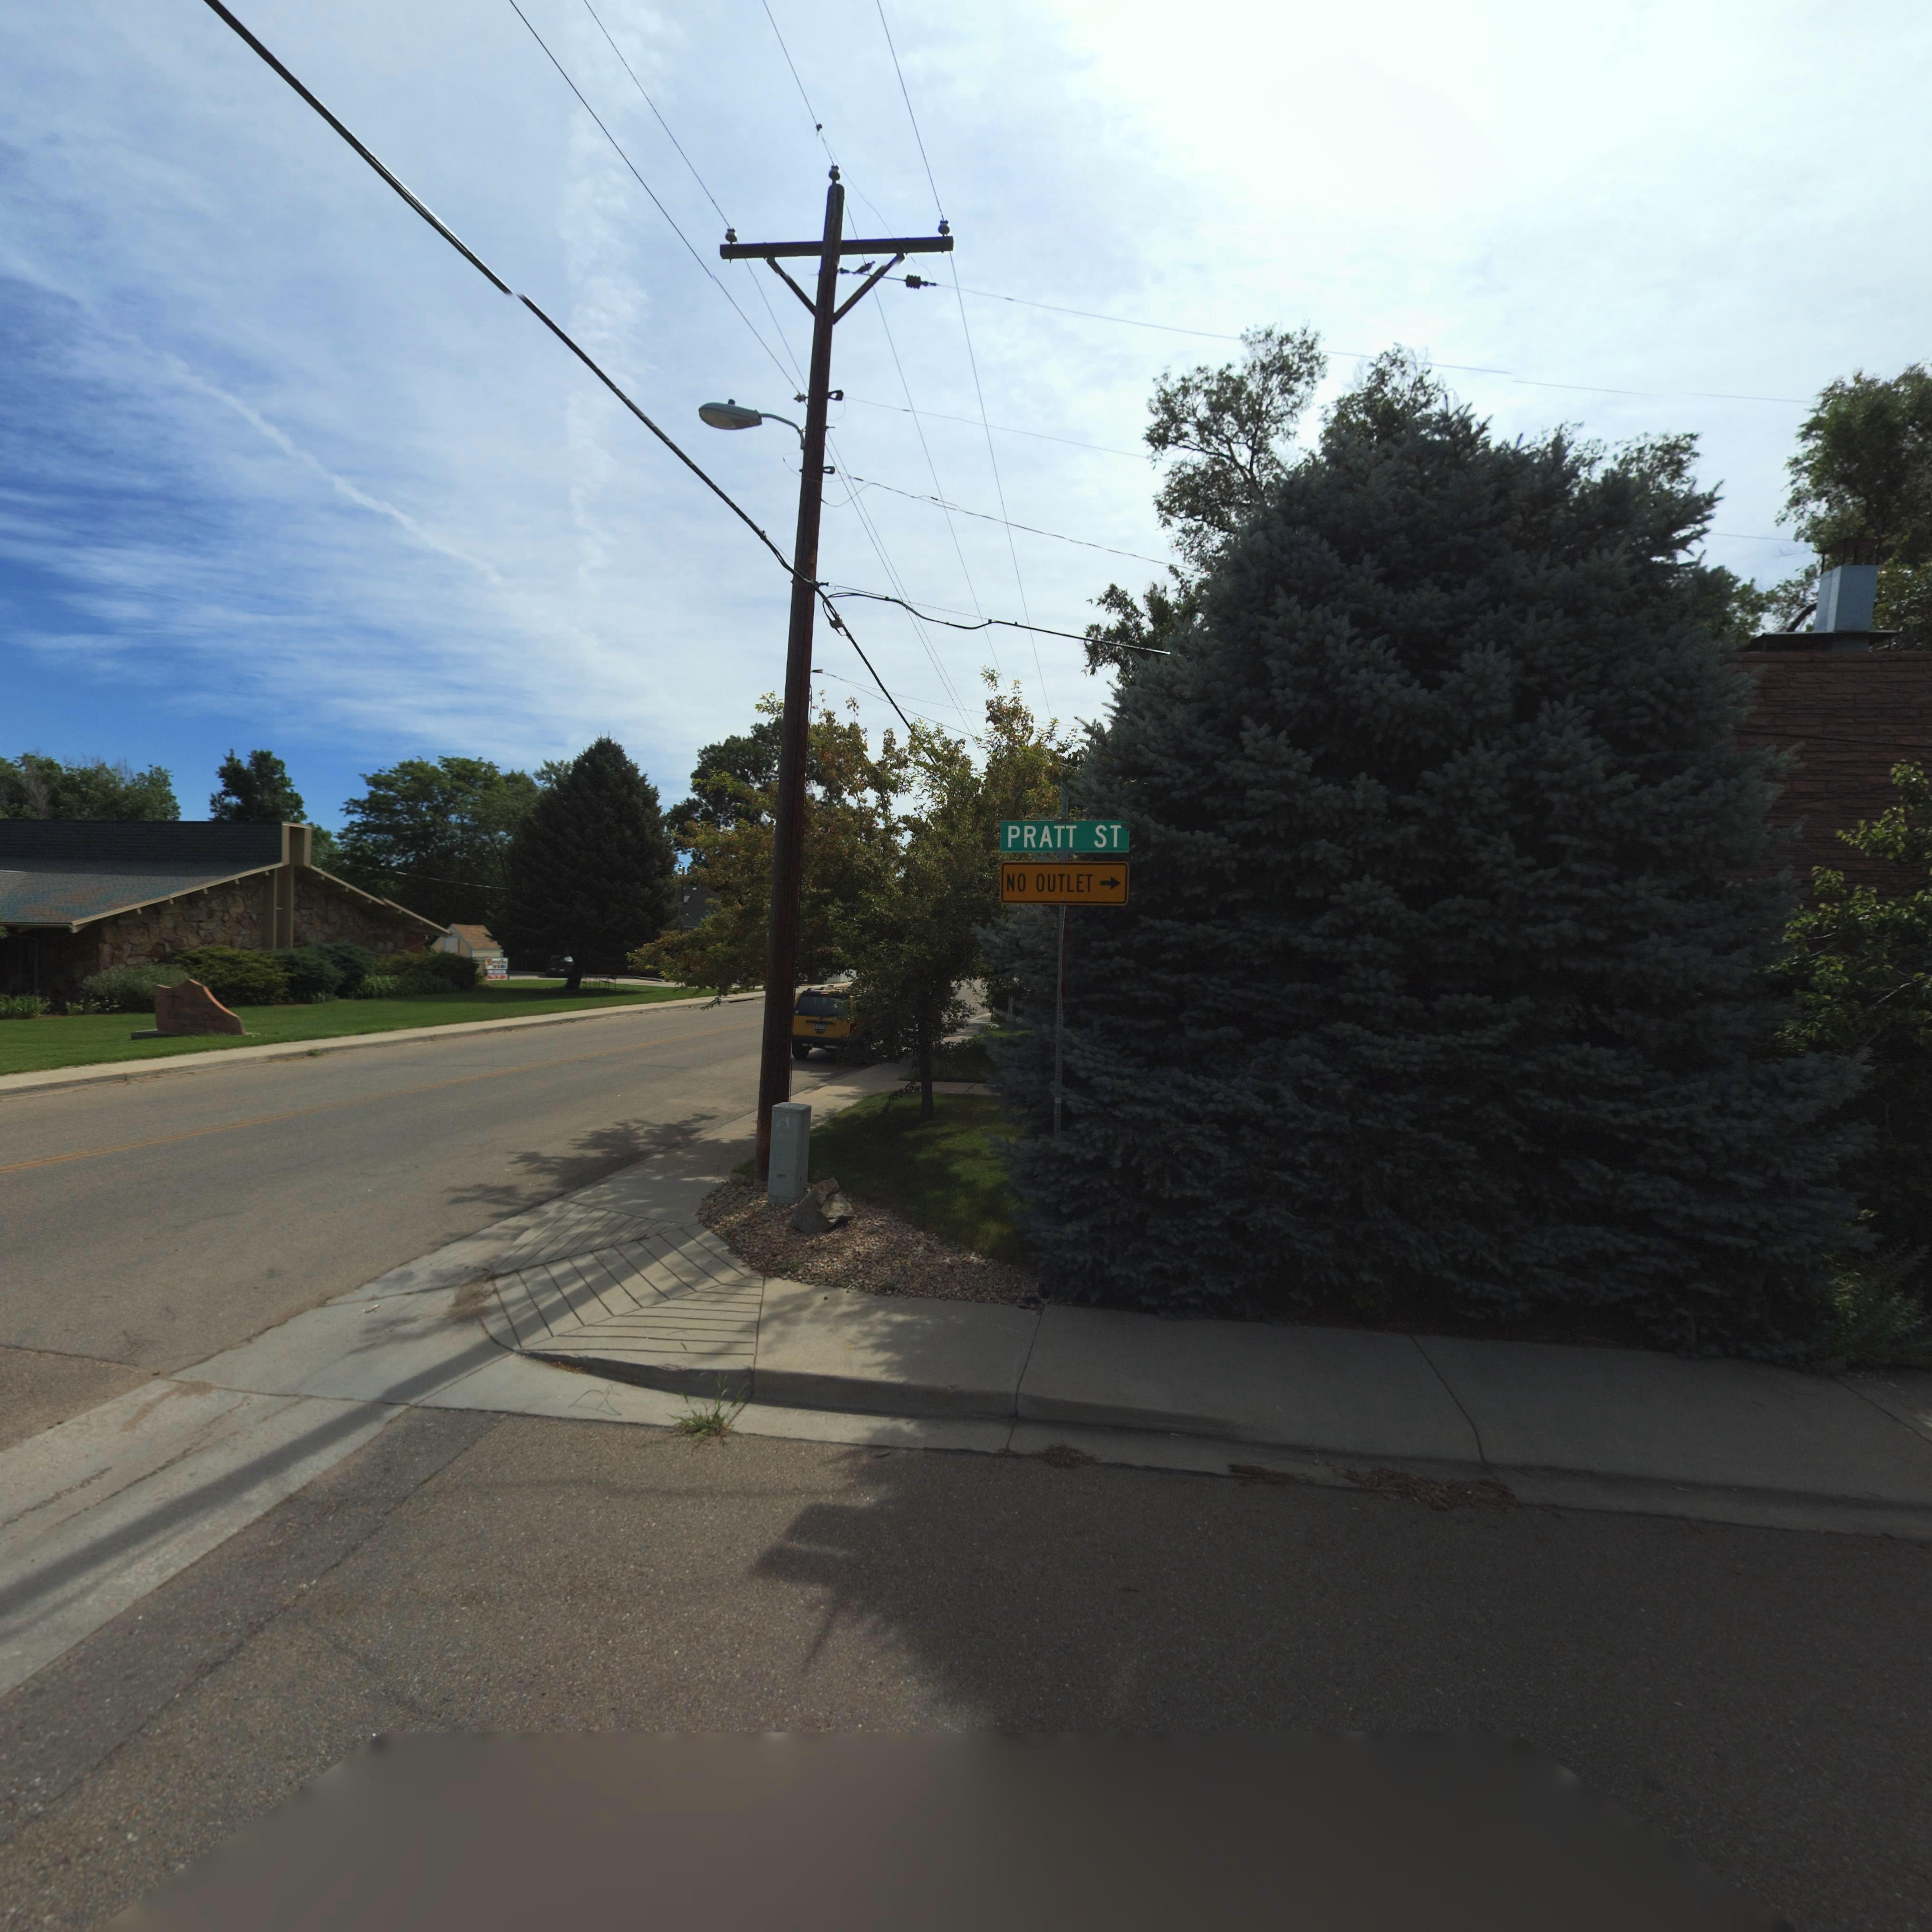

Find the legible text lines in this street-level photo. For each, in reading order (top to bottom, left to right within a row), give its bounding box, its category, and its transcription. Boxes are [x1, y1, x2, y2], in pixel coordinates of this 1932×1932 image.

[1007, 824, 1122, 849] StreetName: PRATT ST
[167, 1010, 227, 1023] BusinessName: L******* C*****